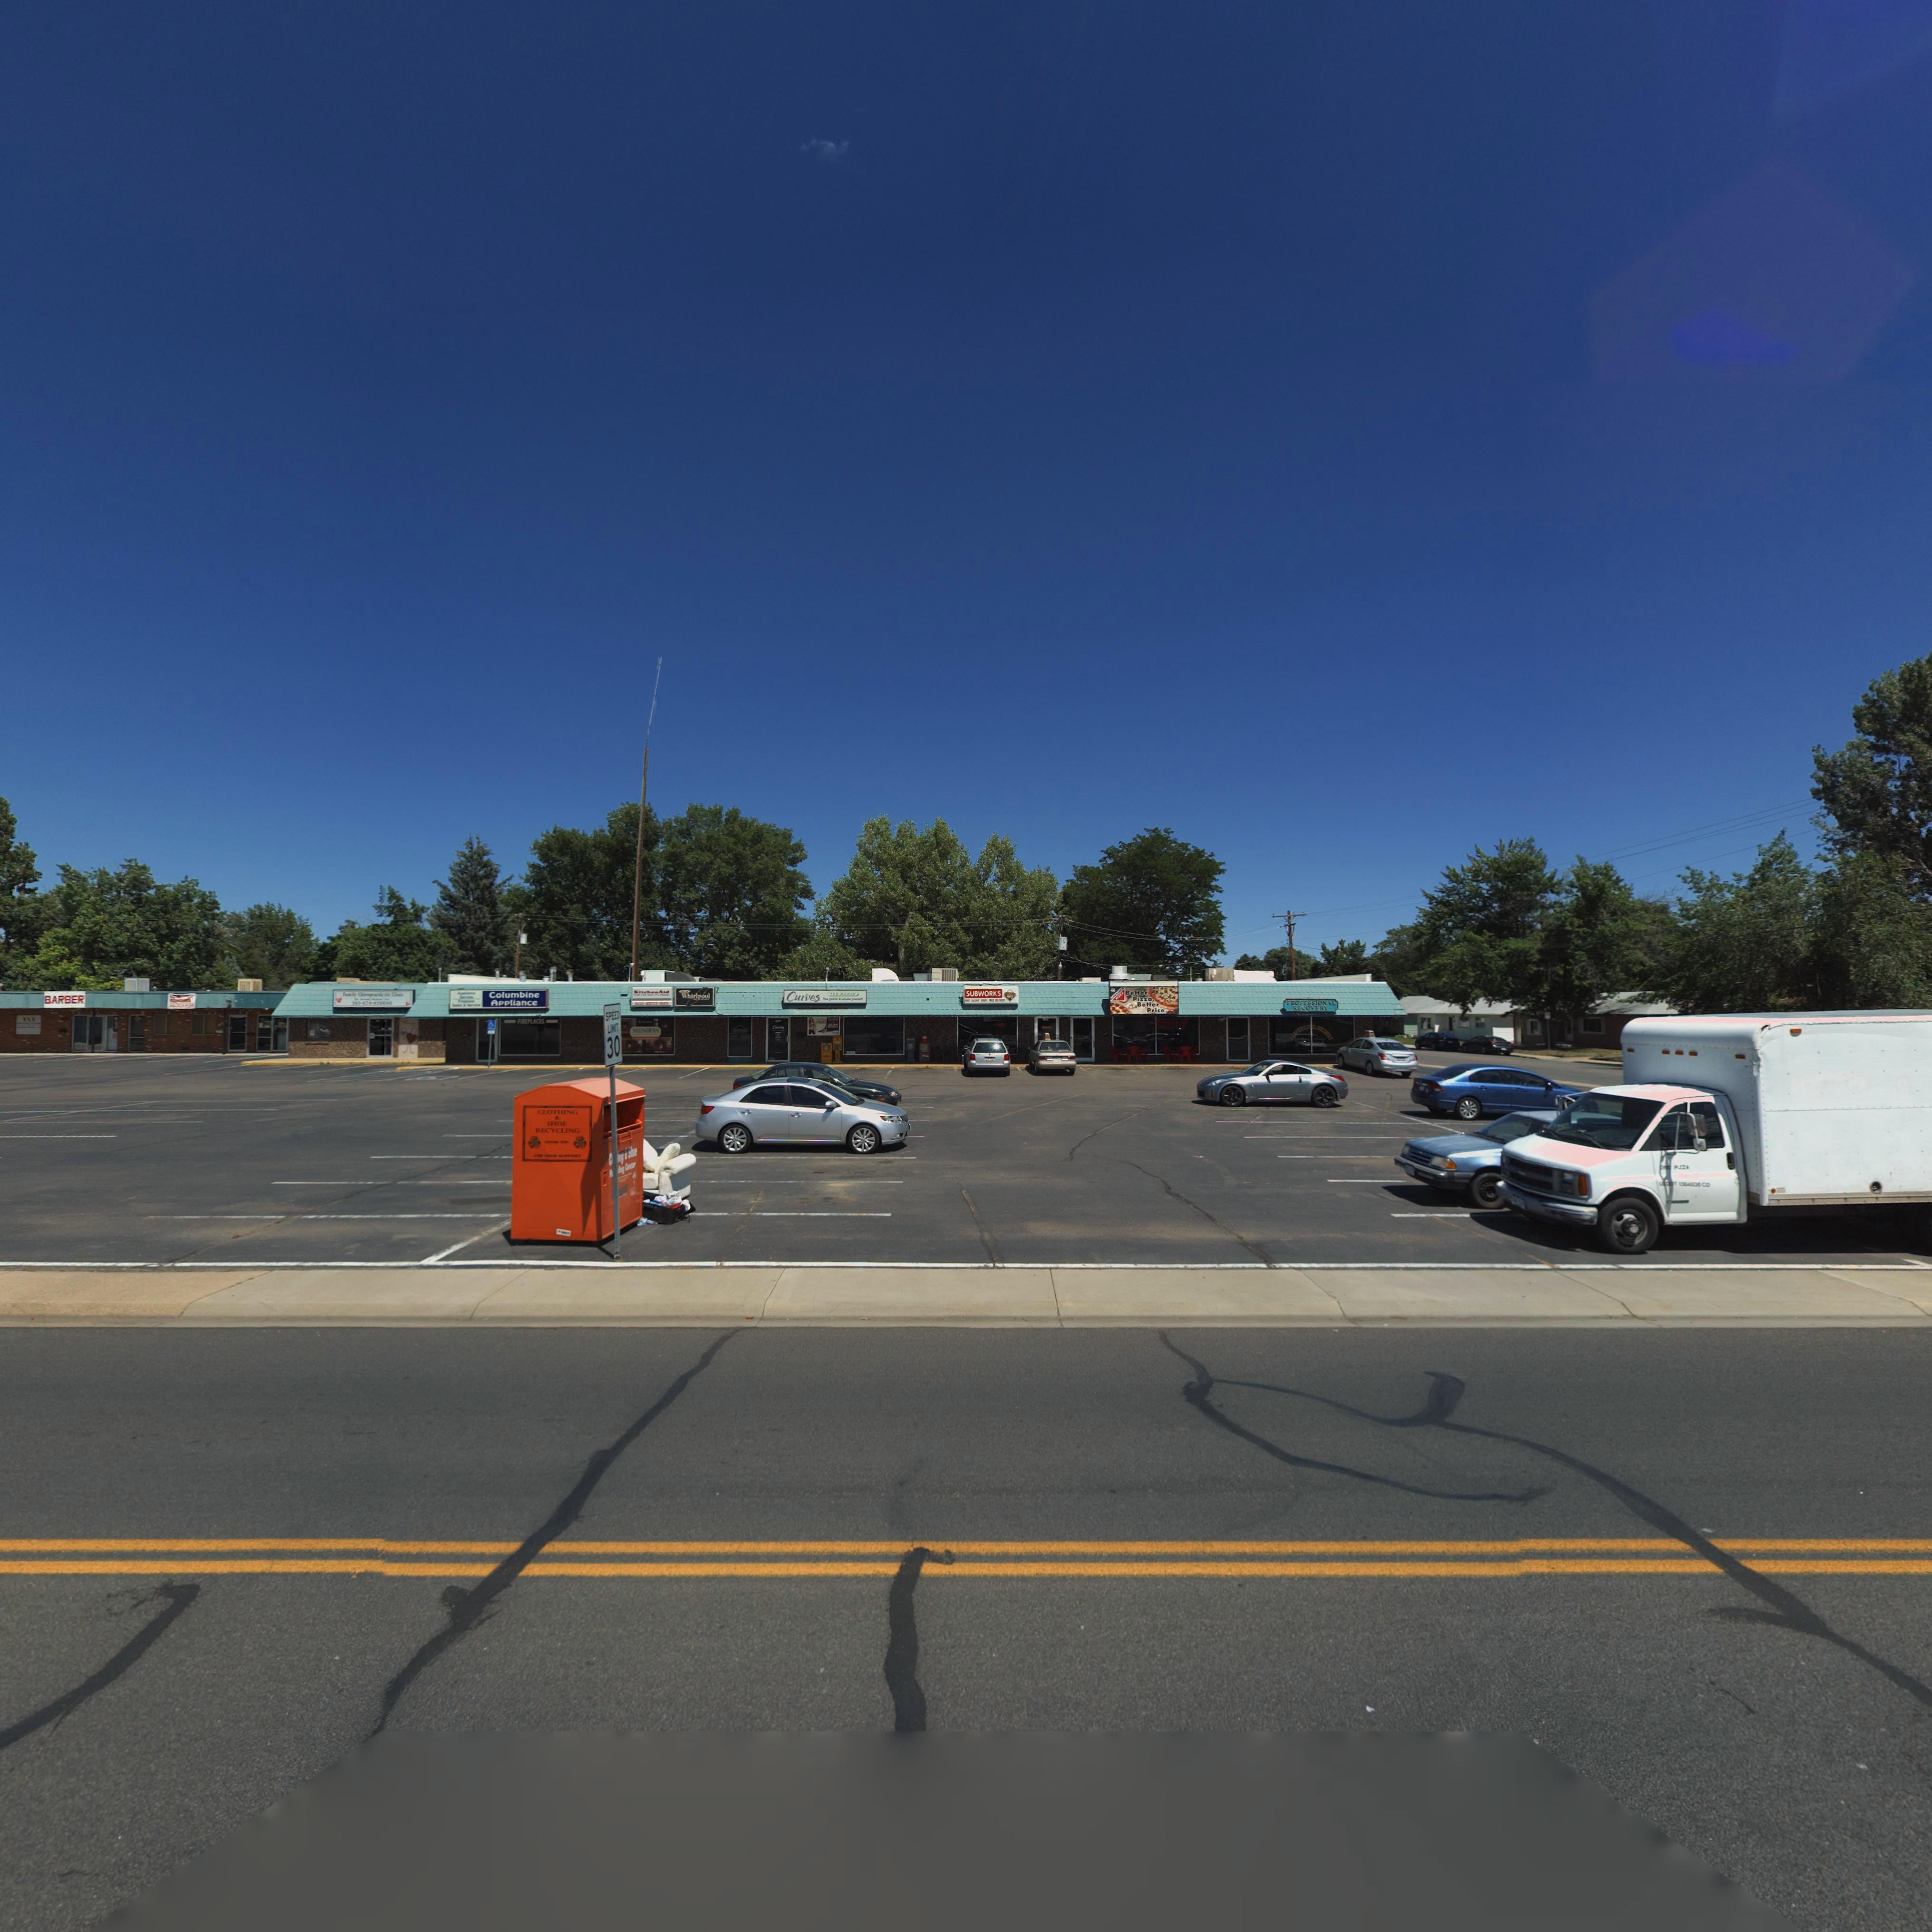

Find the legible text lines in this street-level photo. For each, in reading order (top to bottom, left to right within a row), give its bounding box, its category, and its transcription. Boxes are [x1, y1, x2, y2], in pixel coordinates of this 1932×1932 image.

[44, 995, 84, 1004] BusinessName: BARBER
[342, 991, 404, 996] BusinessName: Family Chiropractic * Clinic
[488, 991, 540, 998] BusinessName: Columbine
[490, 999, 539, 1006] BusinessName: Appliance
[786, 991, 821, 1002] BusinessName: Curves
[966, 990, 1001, 996] BusinessName: SUBWORKS
[1285, 999, 1336, 1005] BusinessName: PROFESSIONAL
[1292, 1005, 1328, 1011] BusinessName: RECOVERY
[772, 1025, 784, 1030] BusinessName: Curves